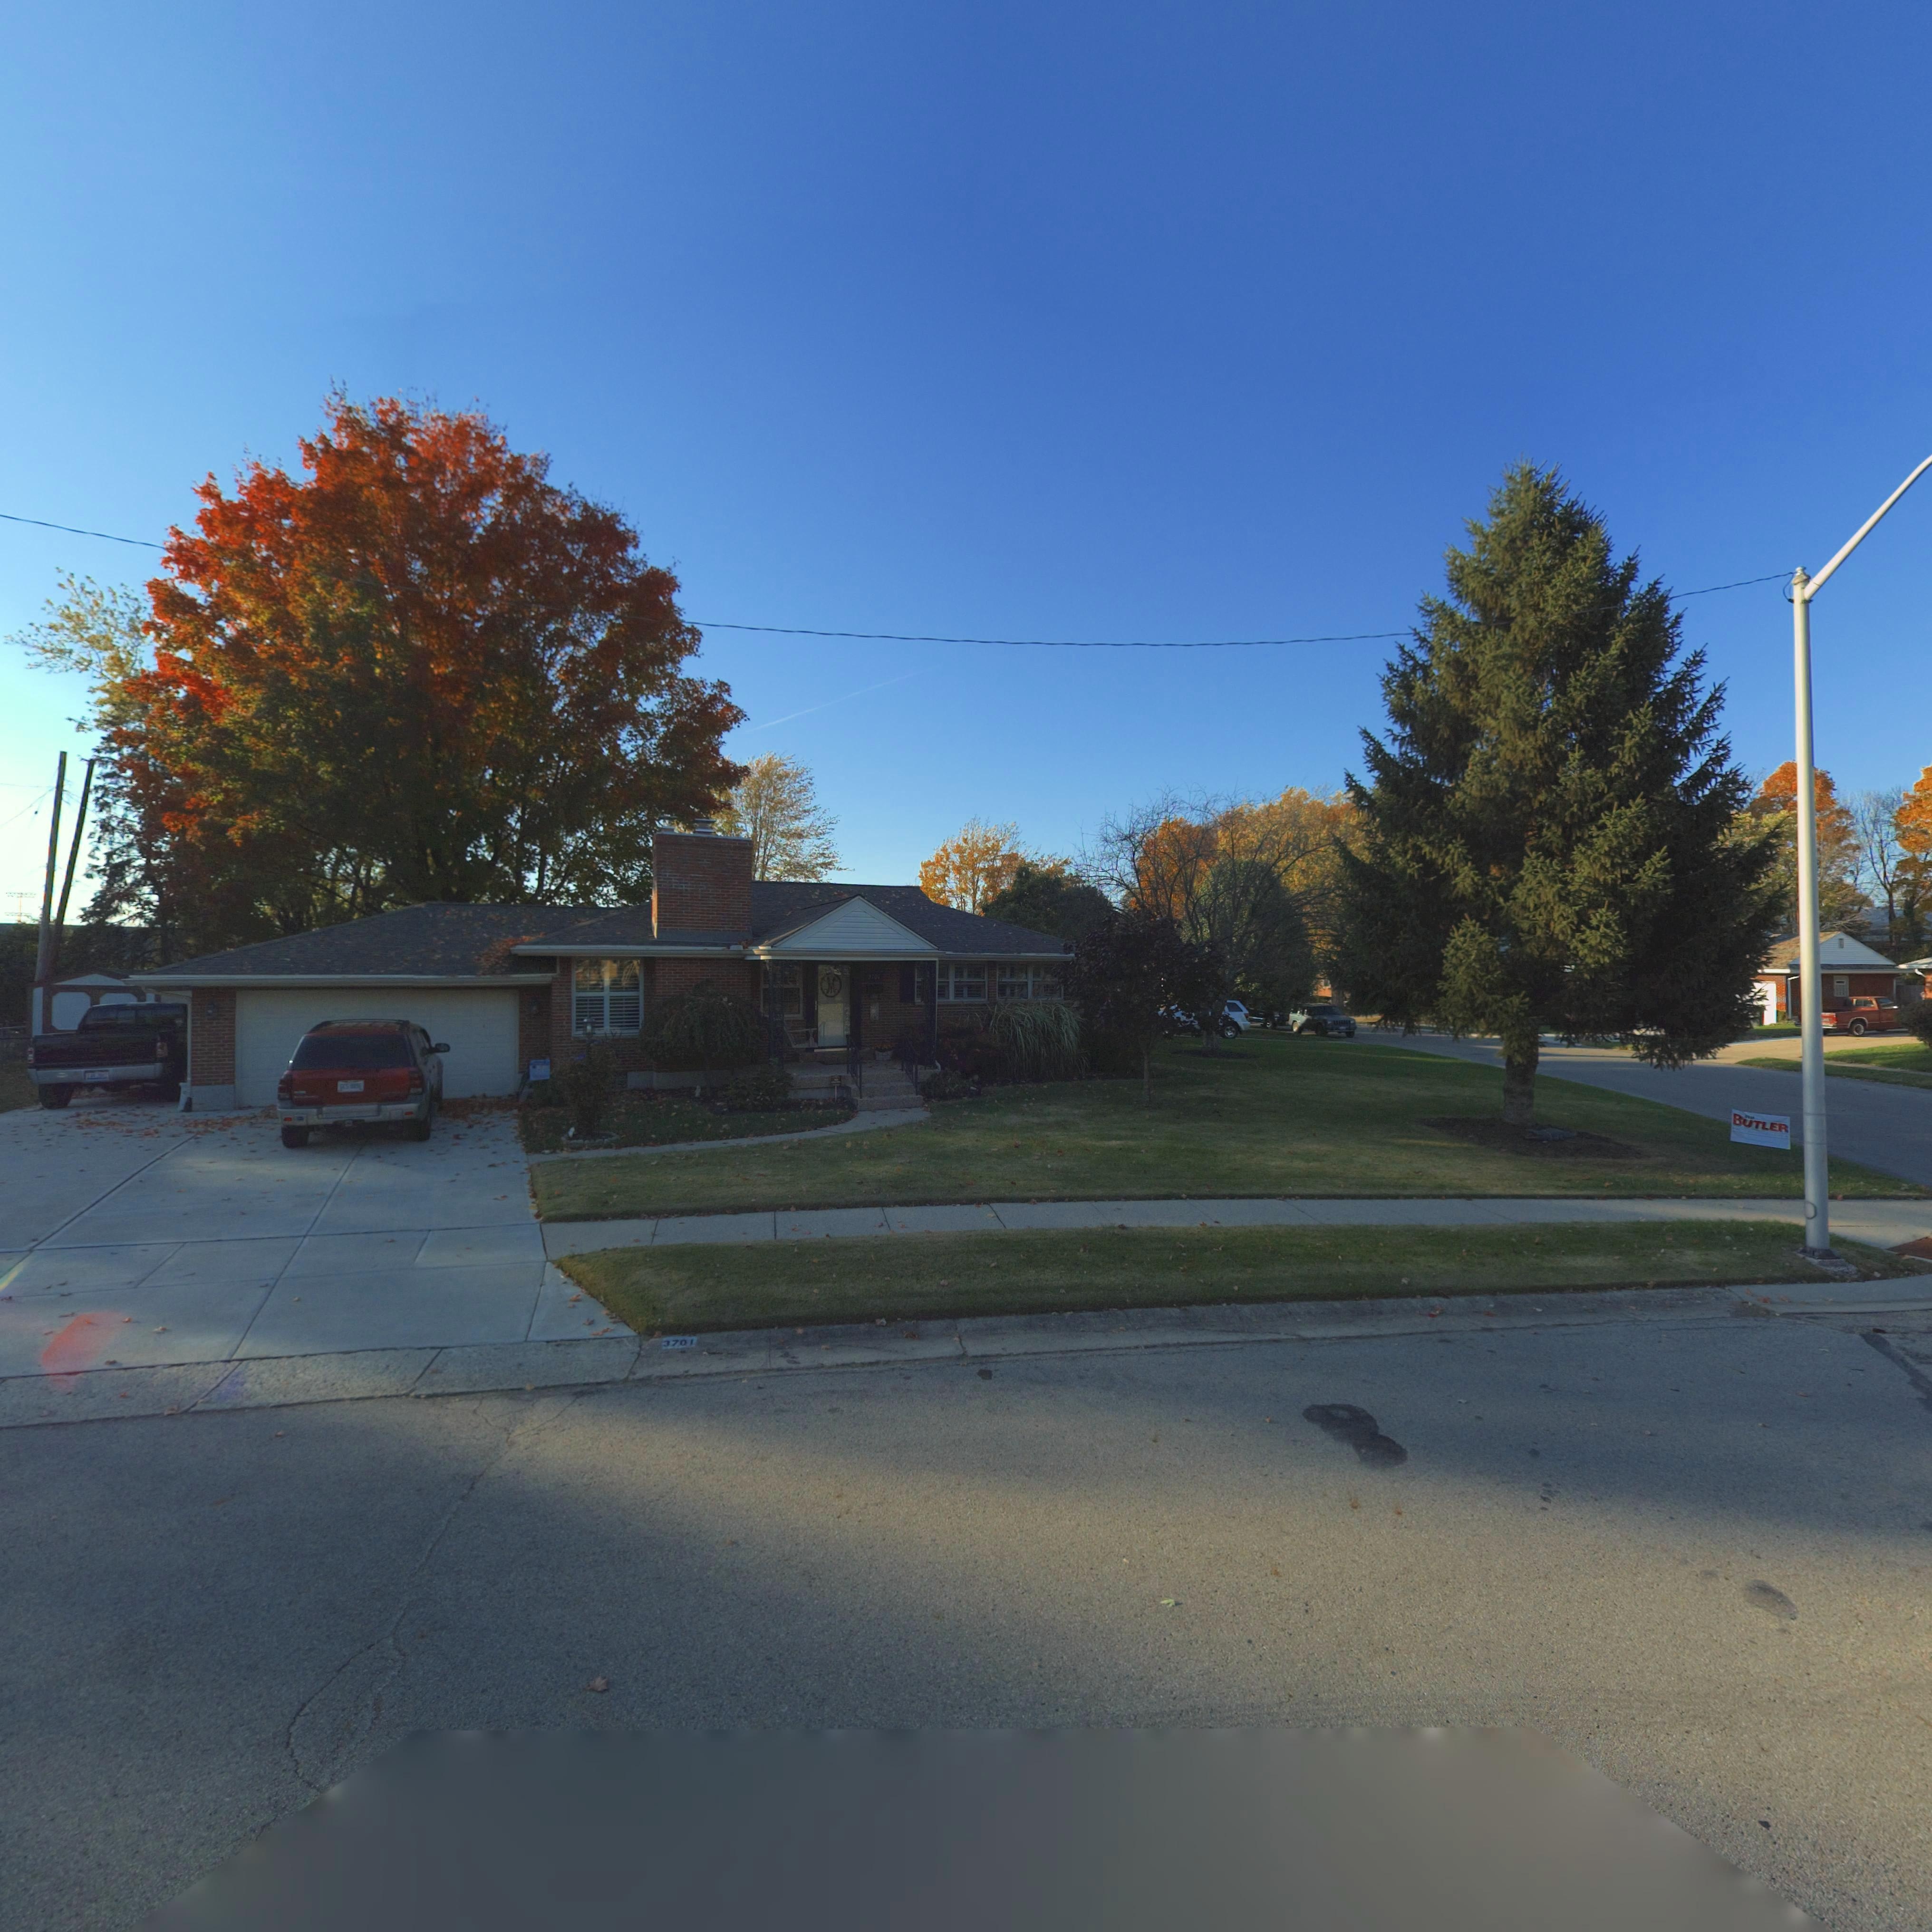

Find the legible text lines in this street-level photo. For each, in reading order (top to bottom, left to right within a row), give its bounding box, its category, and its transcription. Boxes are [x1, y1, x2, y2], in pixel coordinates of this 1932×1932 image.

[662, 1338, 695, 1348] StreetNumber: 3701